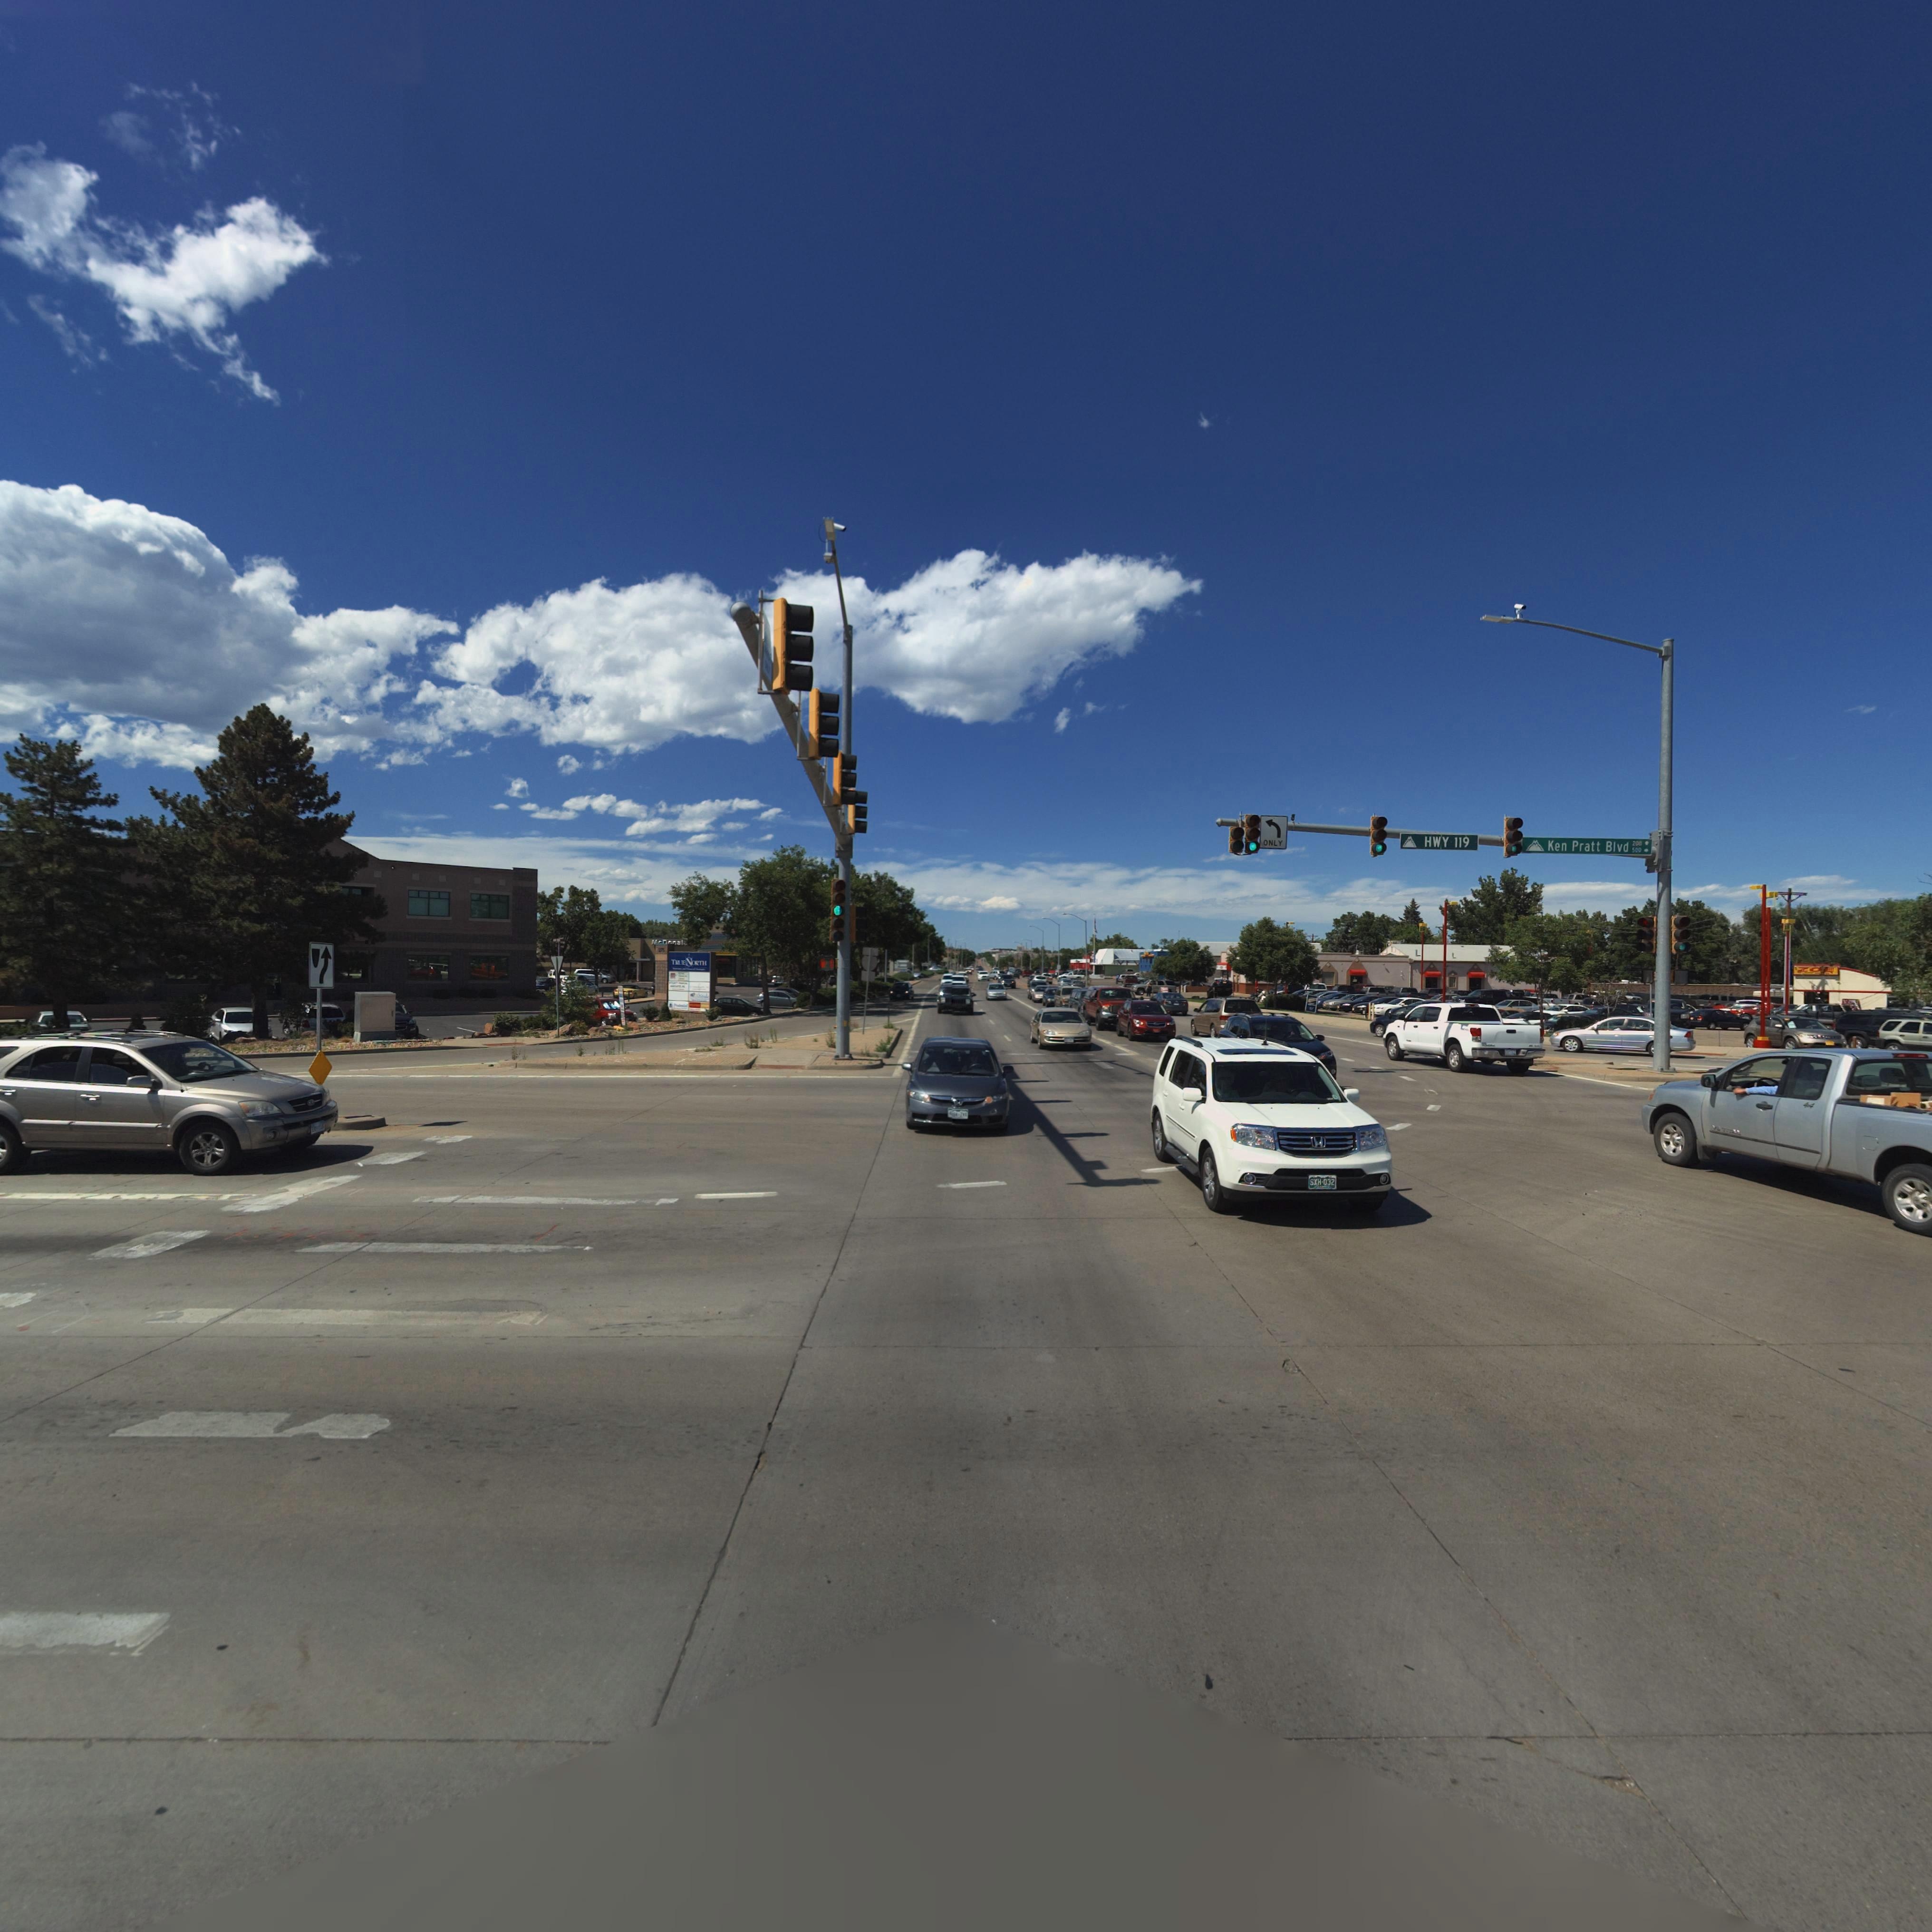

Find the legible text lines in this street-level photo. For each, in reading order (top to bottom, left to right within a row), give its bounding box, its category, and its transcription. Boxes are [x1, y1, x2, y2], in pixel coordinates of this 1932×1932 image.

[1424, 836, 1469, 848] StreetName: HWY 119
[1548, 840, 1629, 852] StreetName: Ken Pratt Blvd
[1632, 840, 1642, 846] StreetNumberRange: 200
[1632, 847, 1649, 853] StreetNumberRange: 500 ->
[651, 939, 683, 945] BusinessName: McDonal
[671, 958, 706, 966] BusinessName: TRUENORTH
[1797, 966, 1834, 972] BusinessName: ZOE